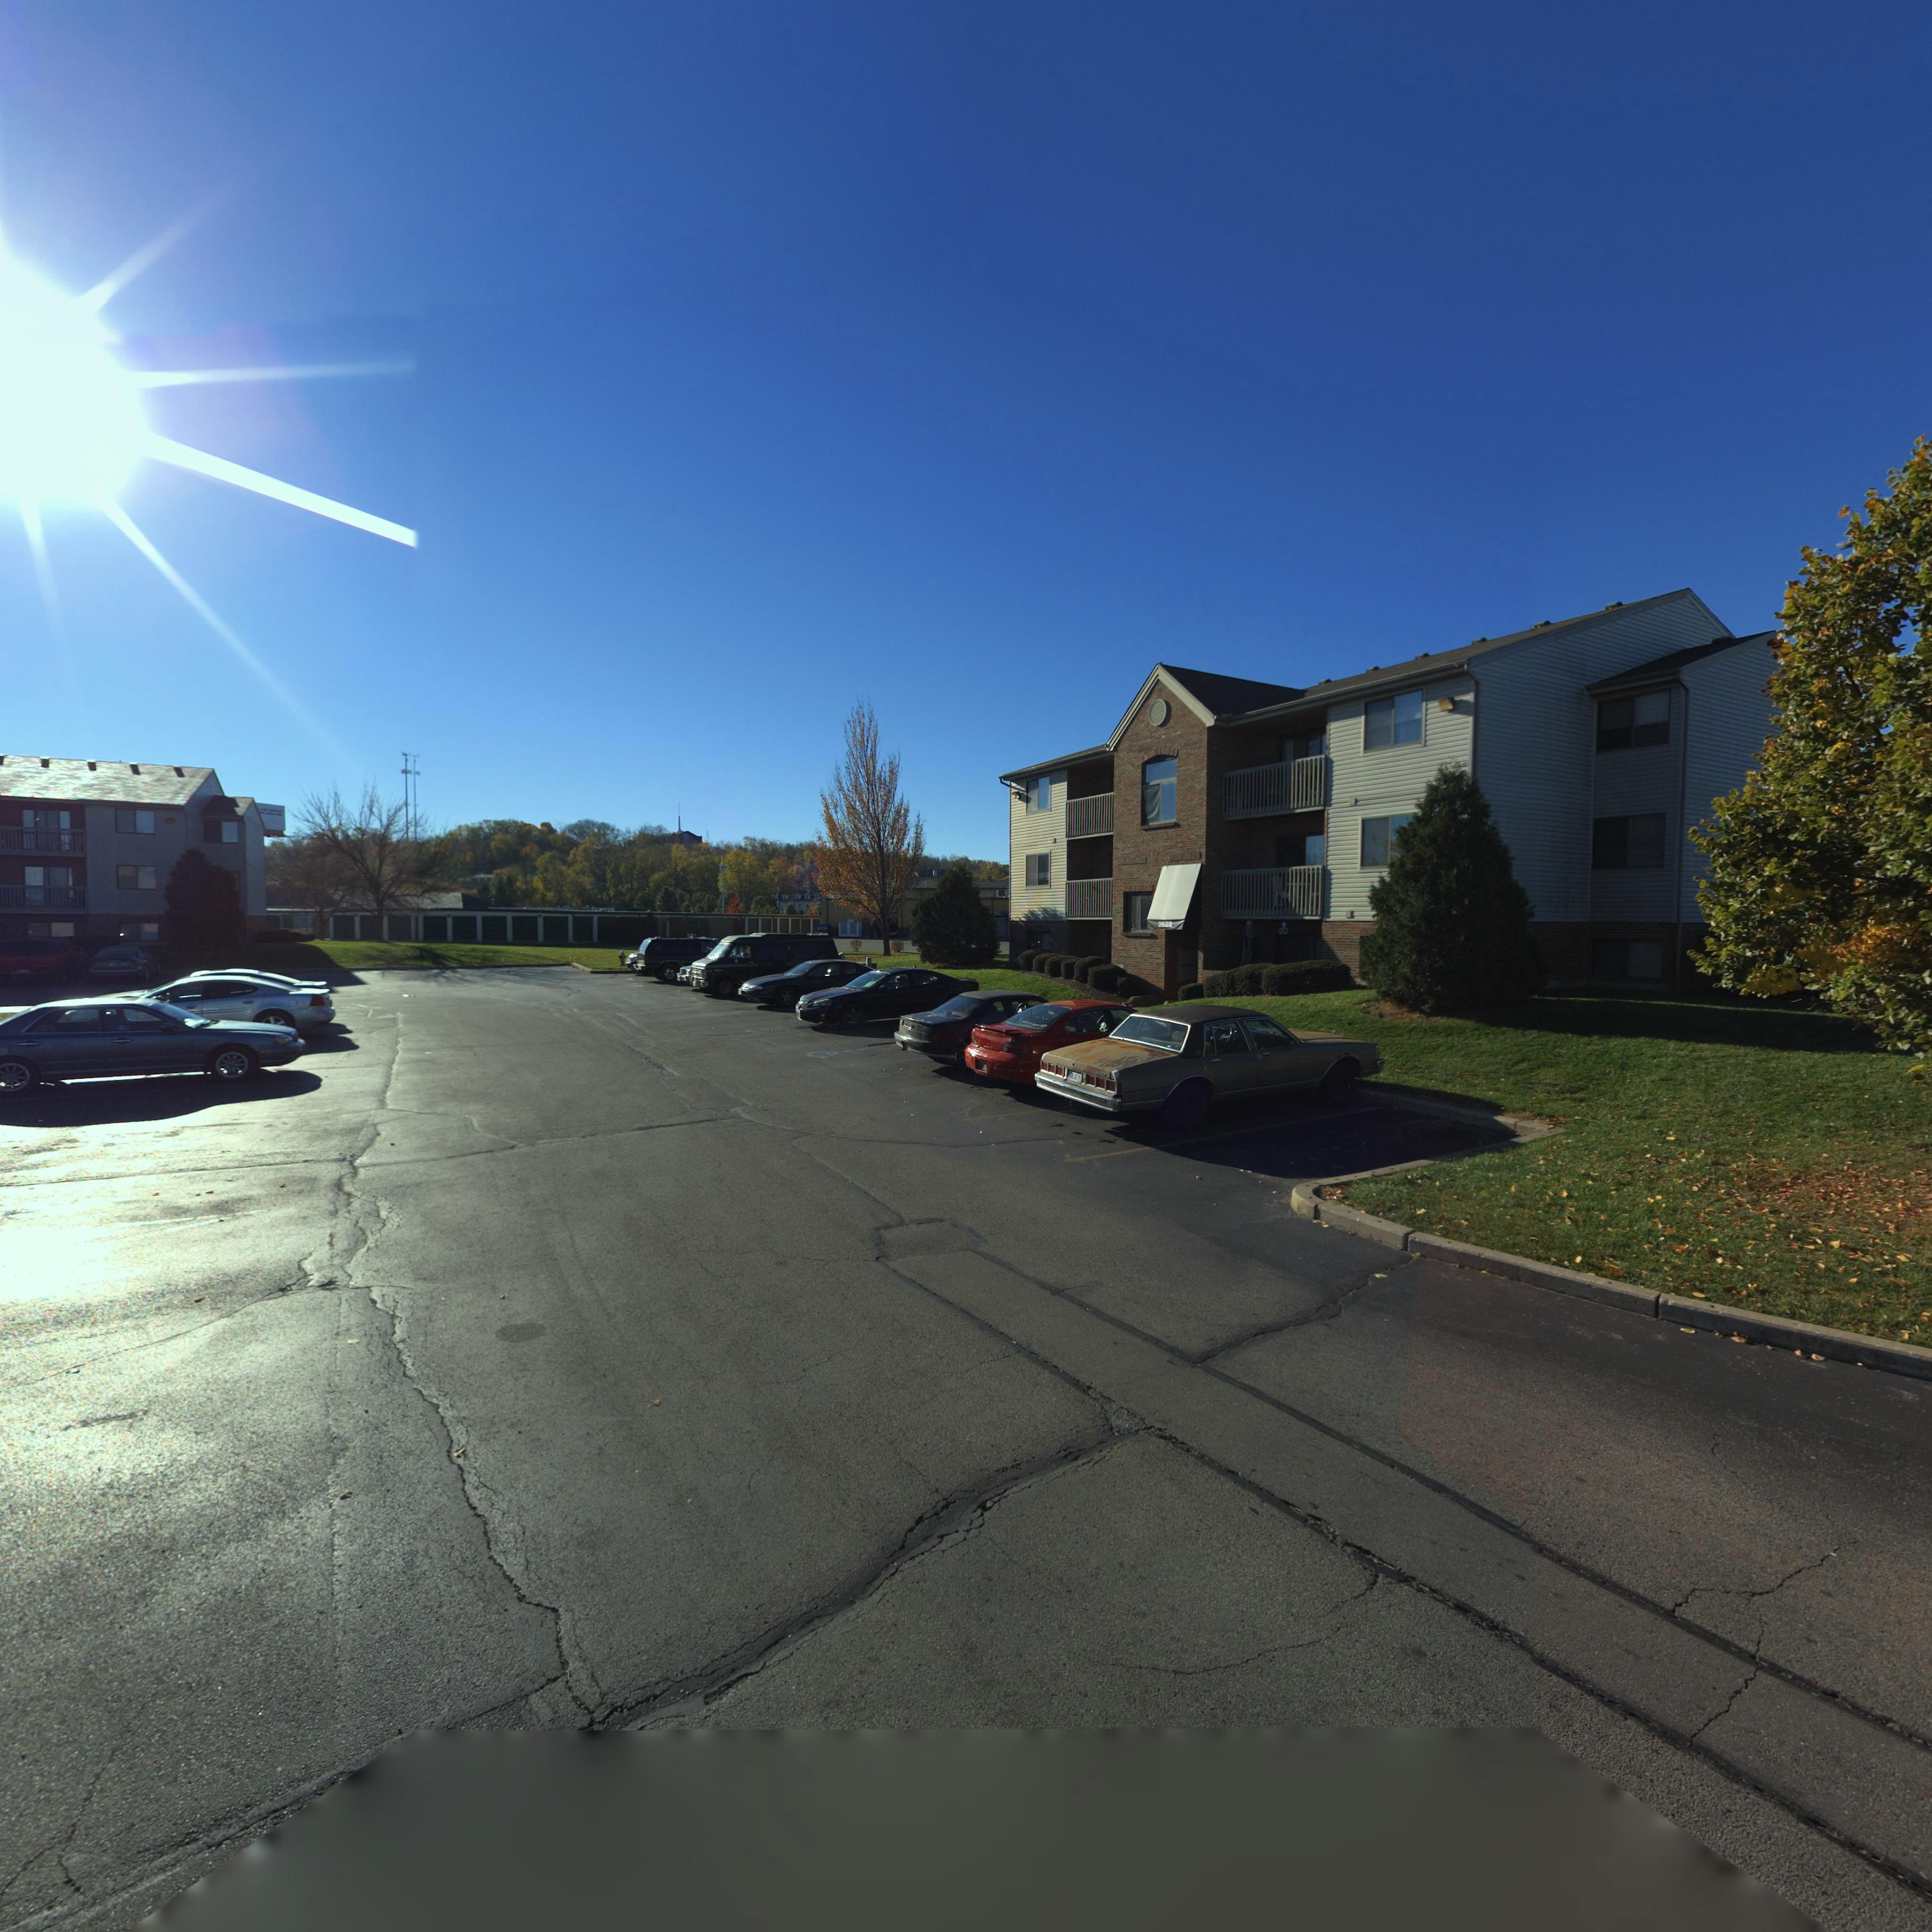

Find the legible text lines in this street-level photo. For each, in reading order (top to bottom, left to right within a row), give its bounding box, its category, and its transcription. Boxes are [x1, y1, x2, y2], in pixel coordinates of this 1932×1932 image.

[1158, 920, 1173, 928] StreetNumber: 2688